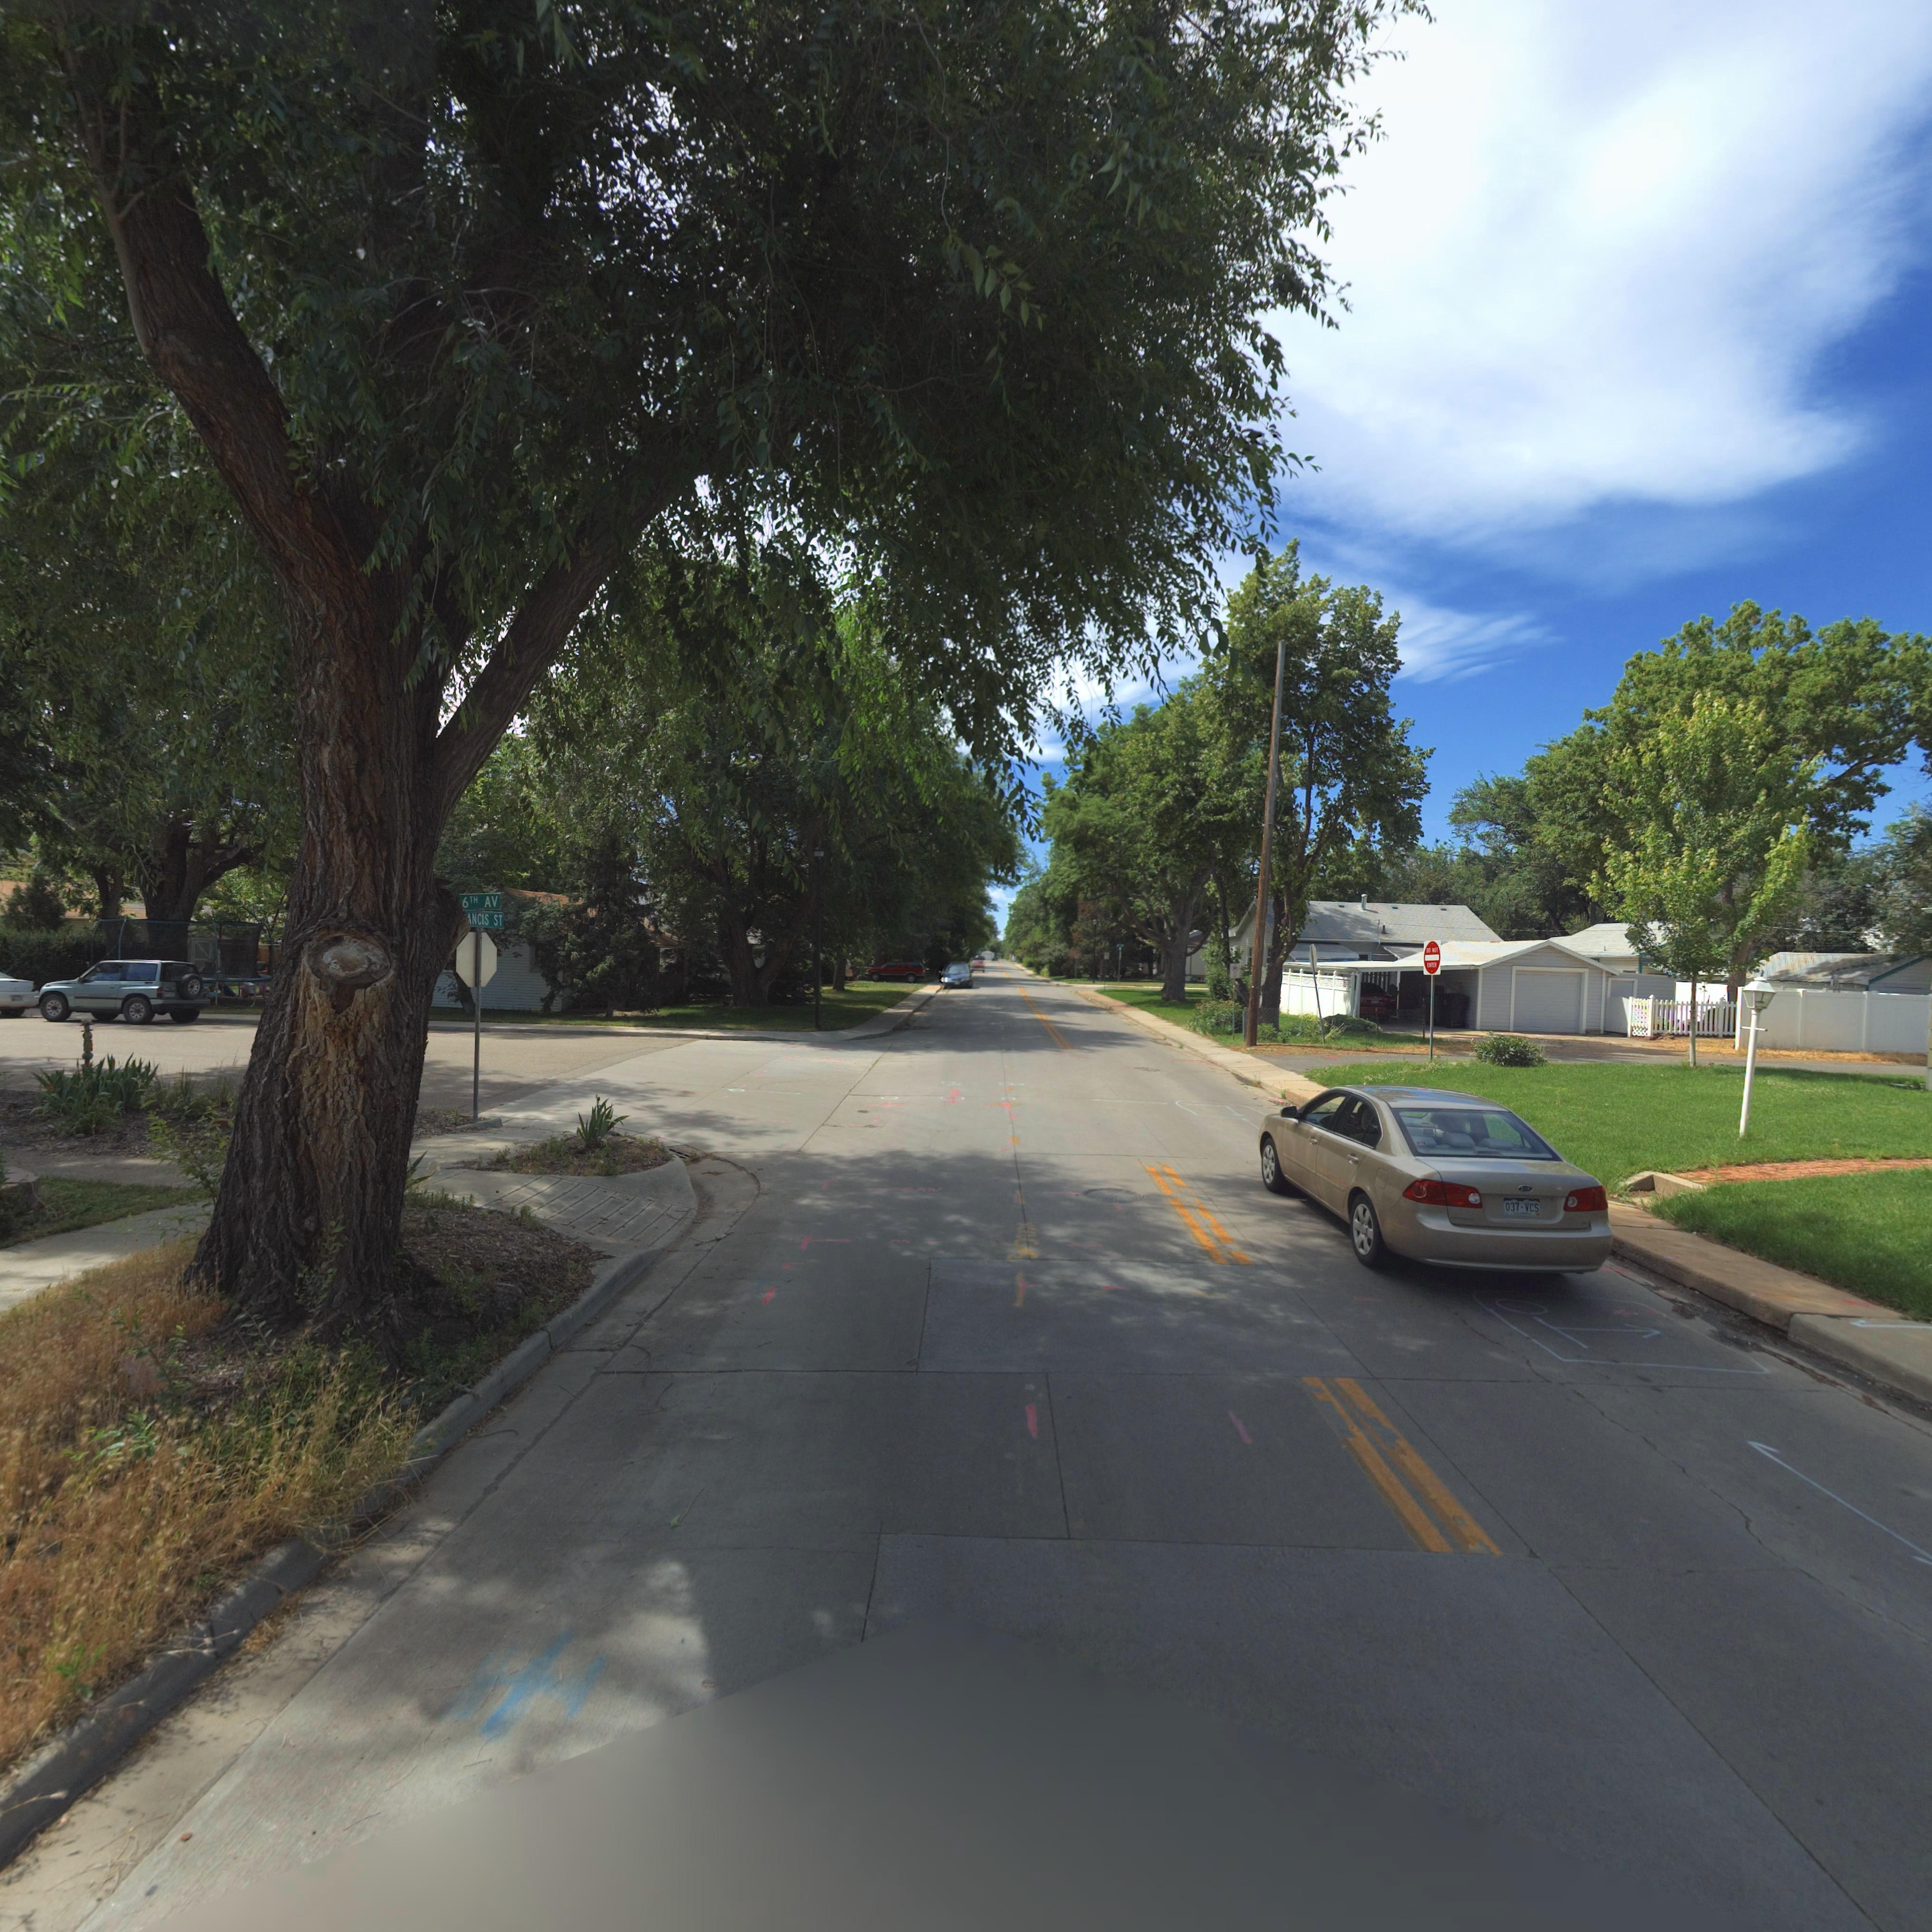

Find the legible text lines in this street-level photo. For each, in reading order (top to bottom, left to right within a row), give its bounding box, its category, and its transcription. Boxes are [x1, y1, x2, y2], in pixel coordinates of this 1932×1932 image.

[462, 895, 498, 908] StreetName: 6TH AV
[468, 913, 503, 926] StreetName: *NCIS ST